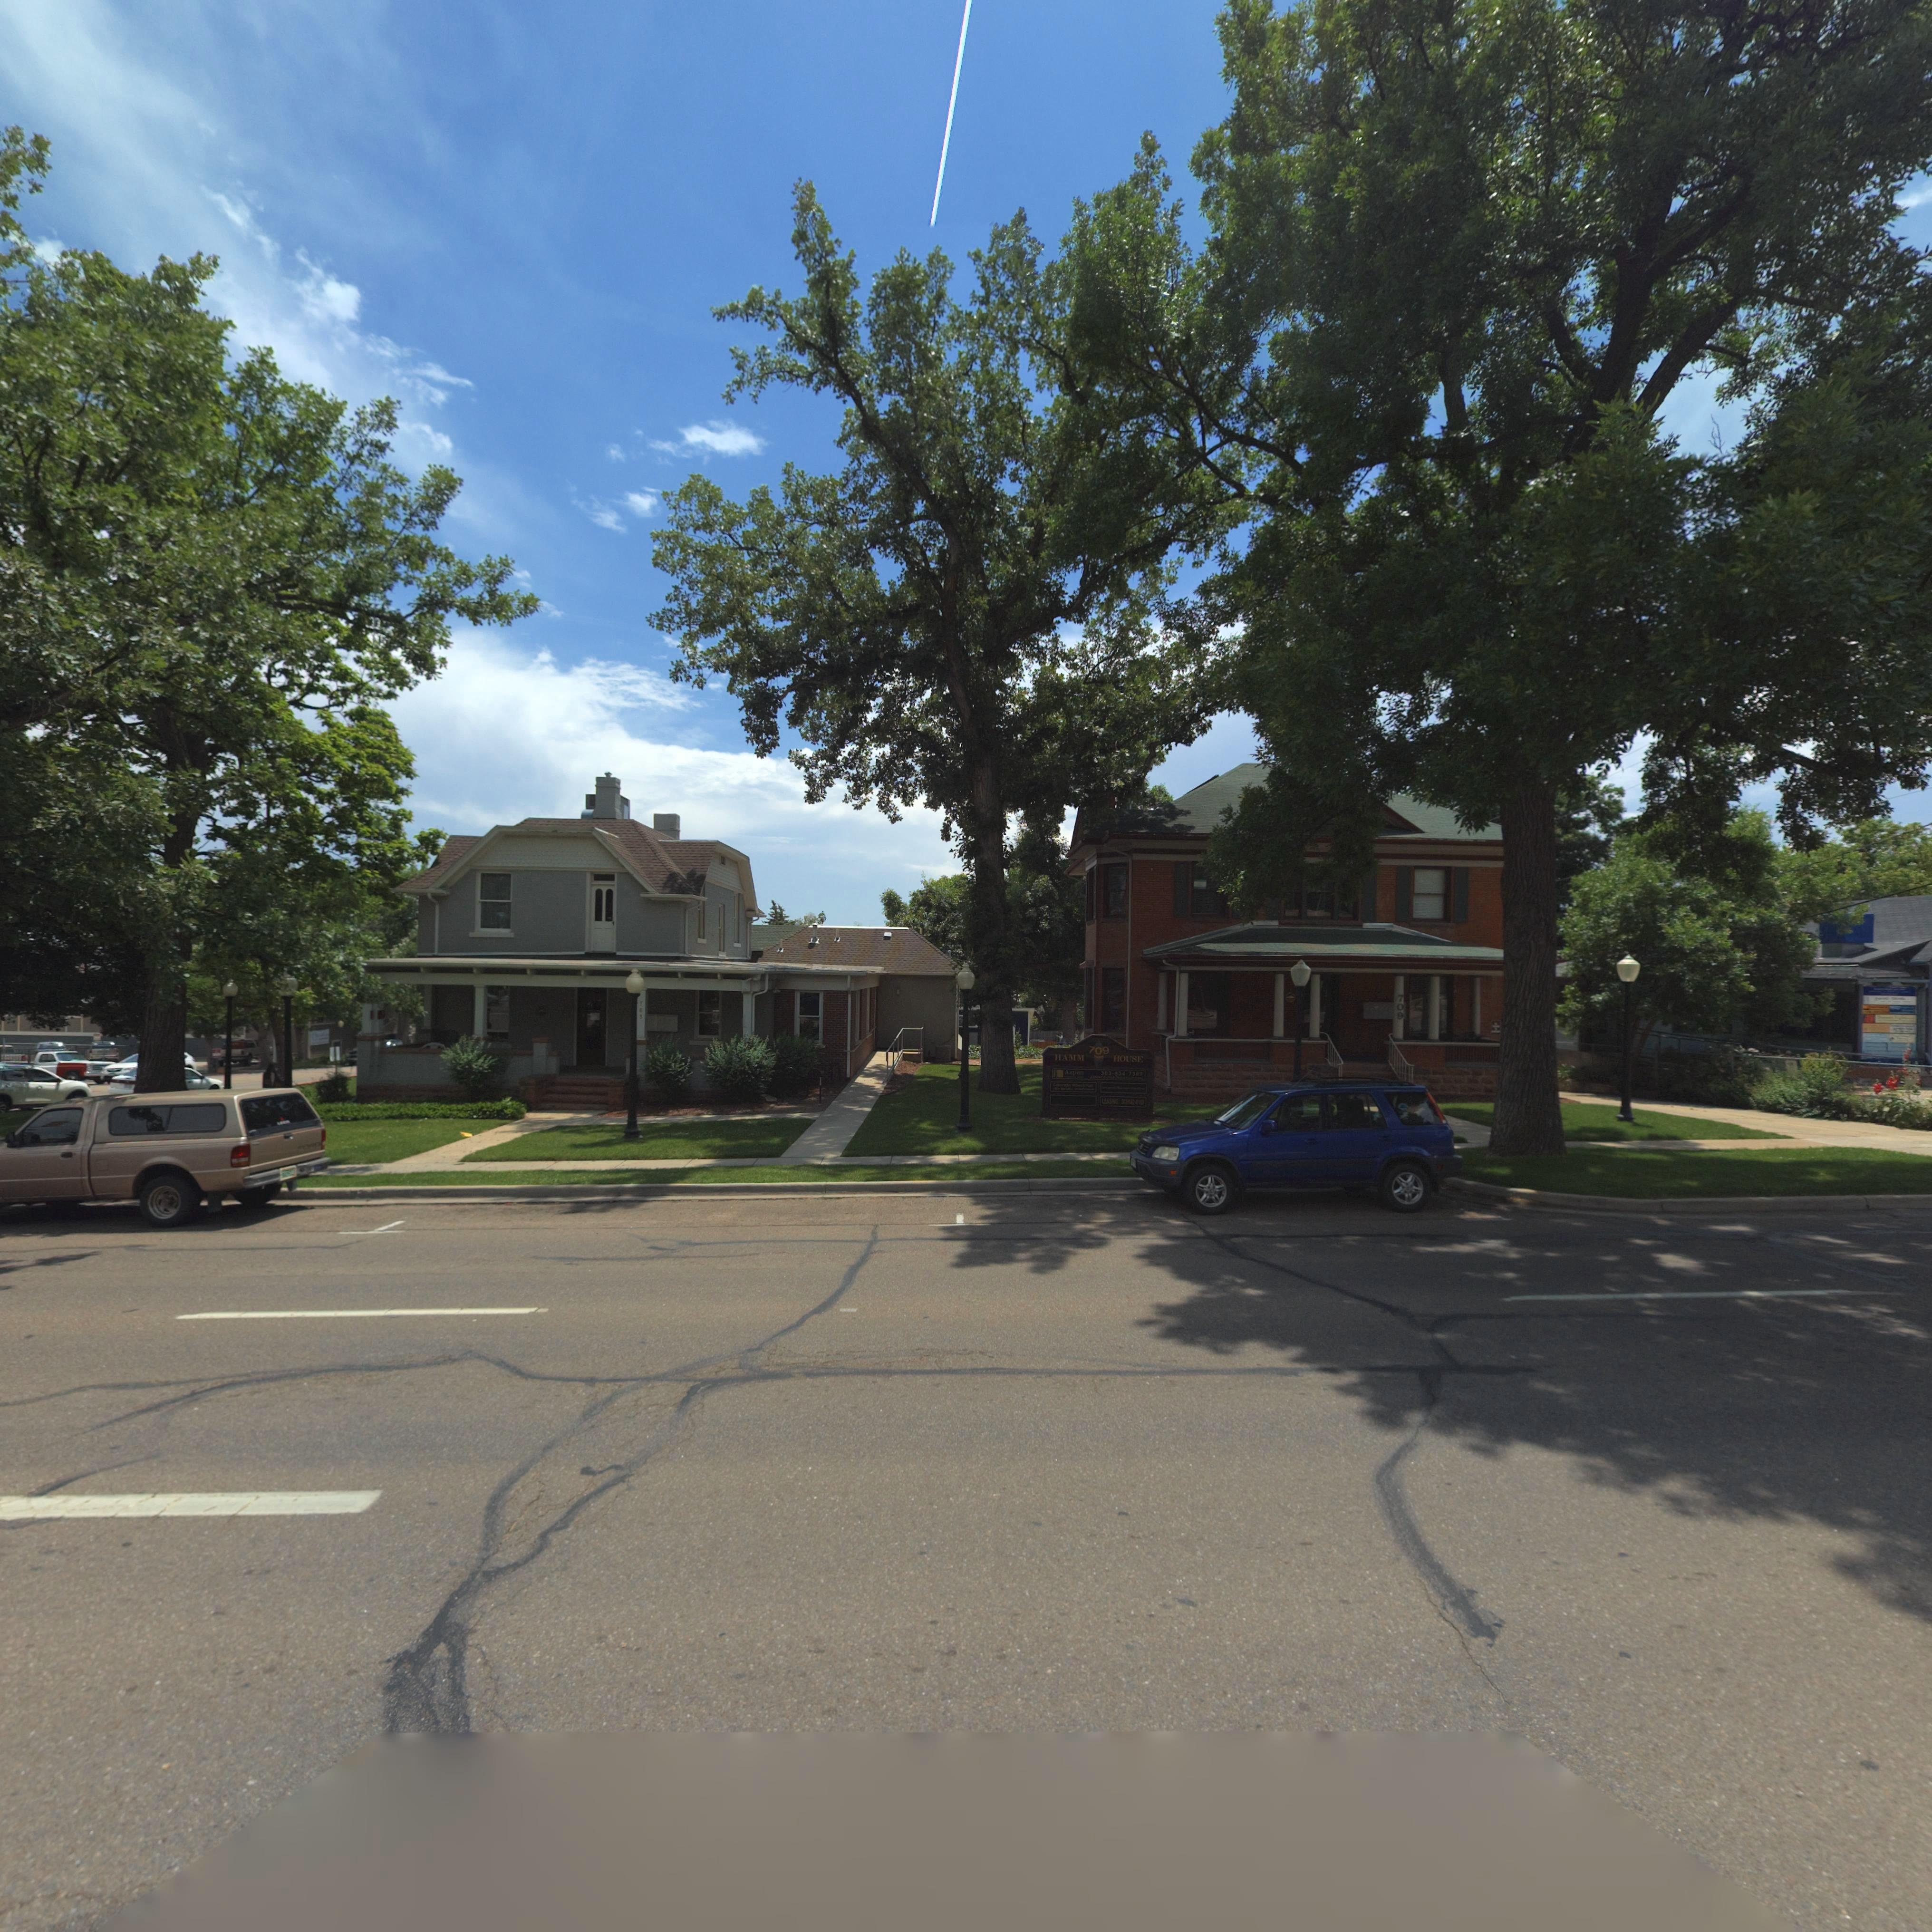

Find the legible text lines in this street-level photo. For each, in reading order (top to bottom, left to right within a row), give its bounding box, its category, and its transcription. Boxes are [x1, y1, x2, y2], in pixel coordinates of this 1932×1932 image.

[638, 1001, 643, 1019] StreetNumber: 705
[1396, 995, 1404, 1020] StreetNumber: 709
[1088, 1045, 1110, 1055] StreetNumber: 709
[1064, 1069, 1084, 1077] BusinessName: Aspen
[1052, 1082, 1071, 1087] BusinessName: Co***ado